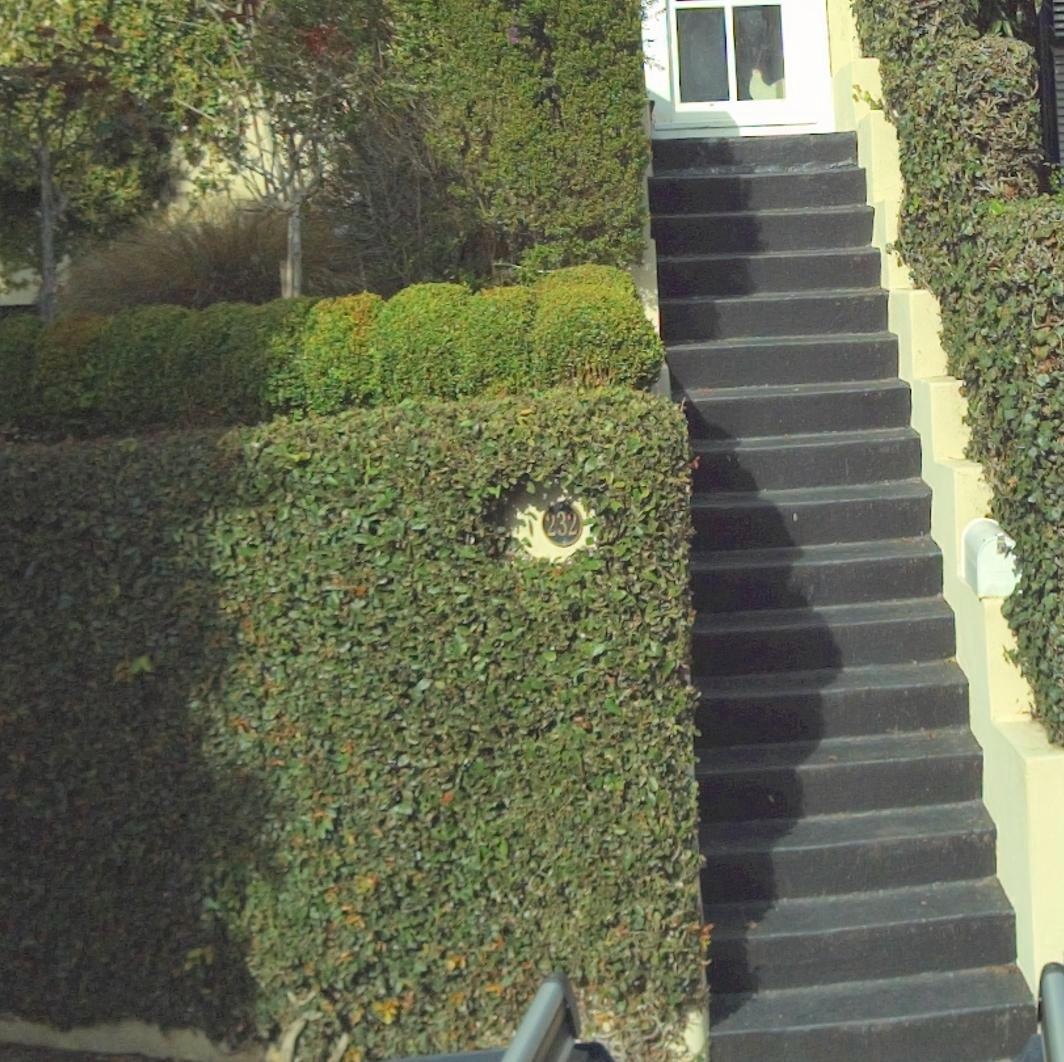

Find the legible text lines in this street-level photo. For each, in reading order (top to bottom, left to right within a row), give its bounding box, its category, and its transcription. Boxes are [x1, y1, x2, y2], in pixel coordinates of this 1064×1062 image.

[543, 511, 579, 538] StreetNumber: 232